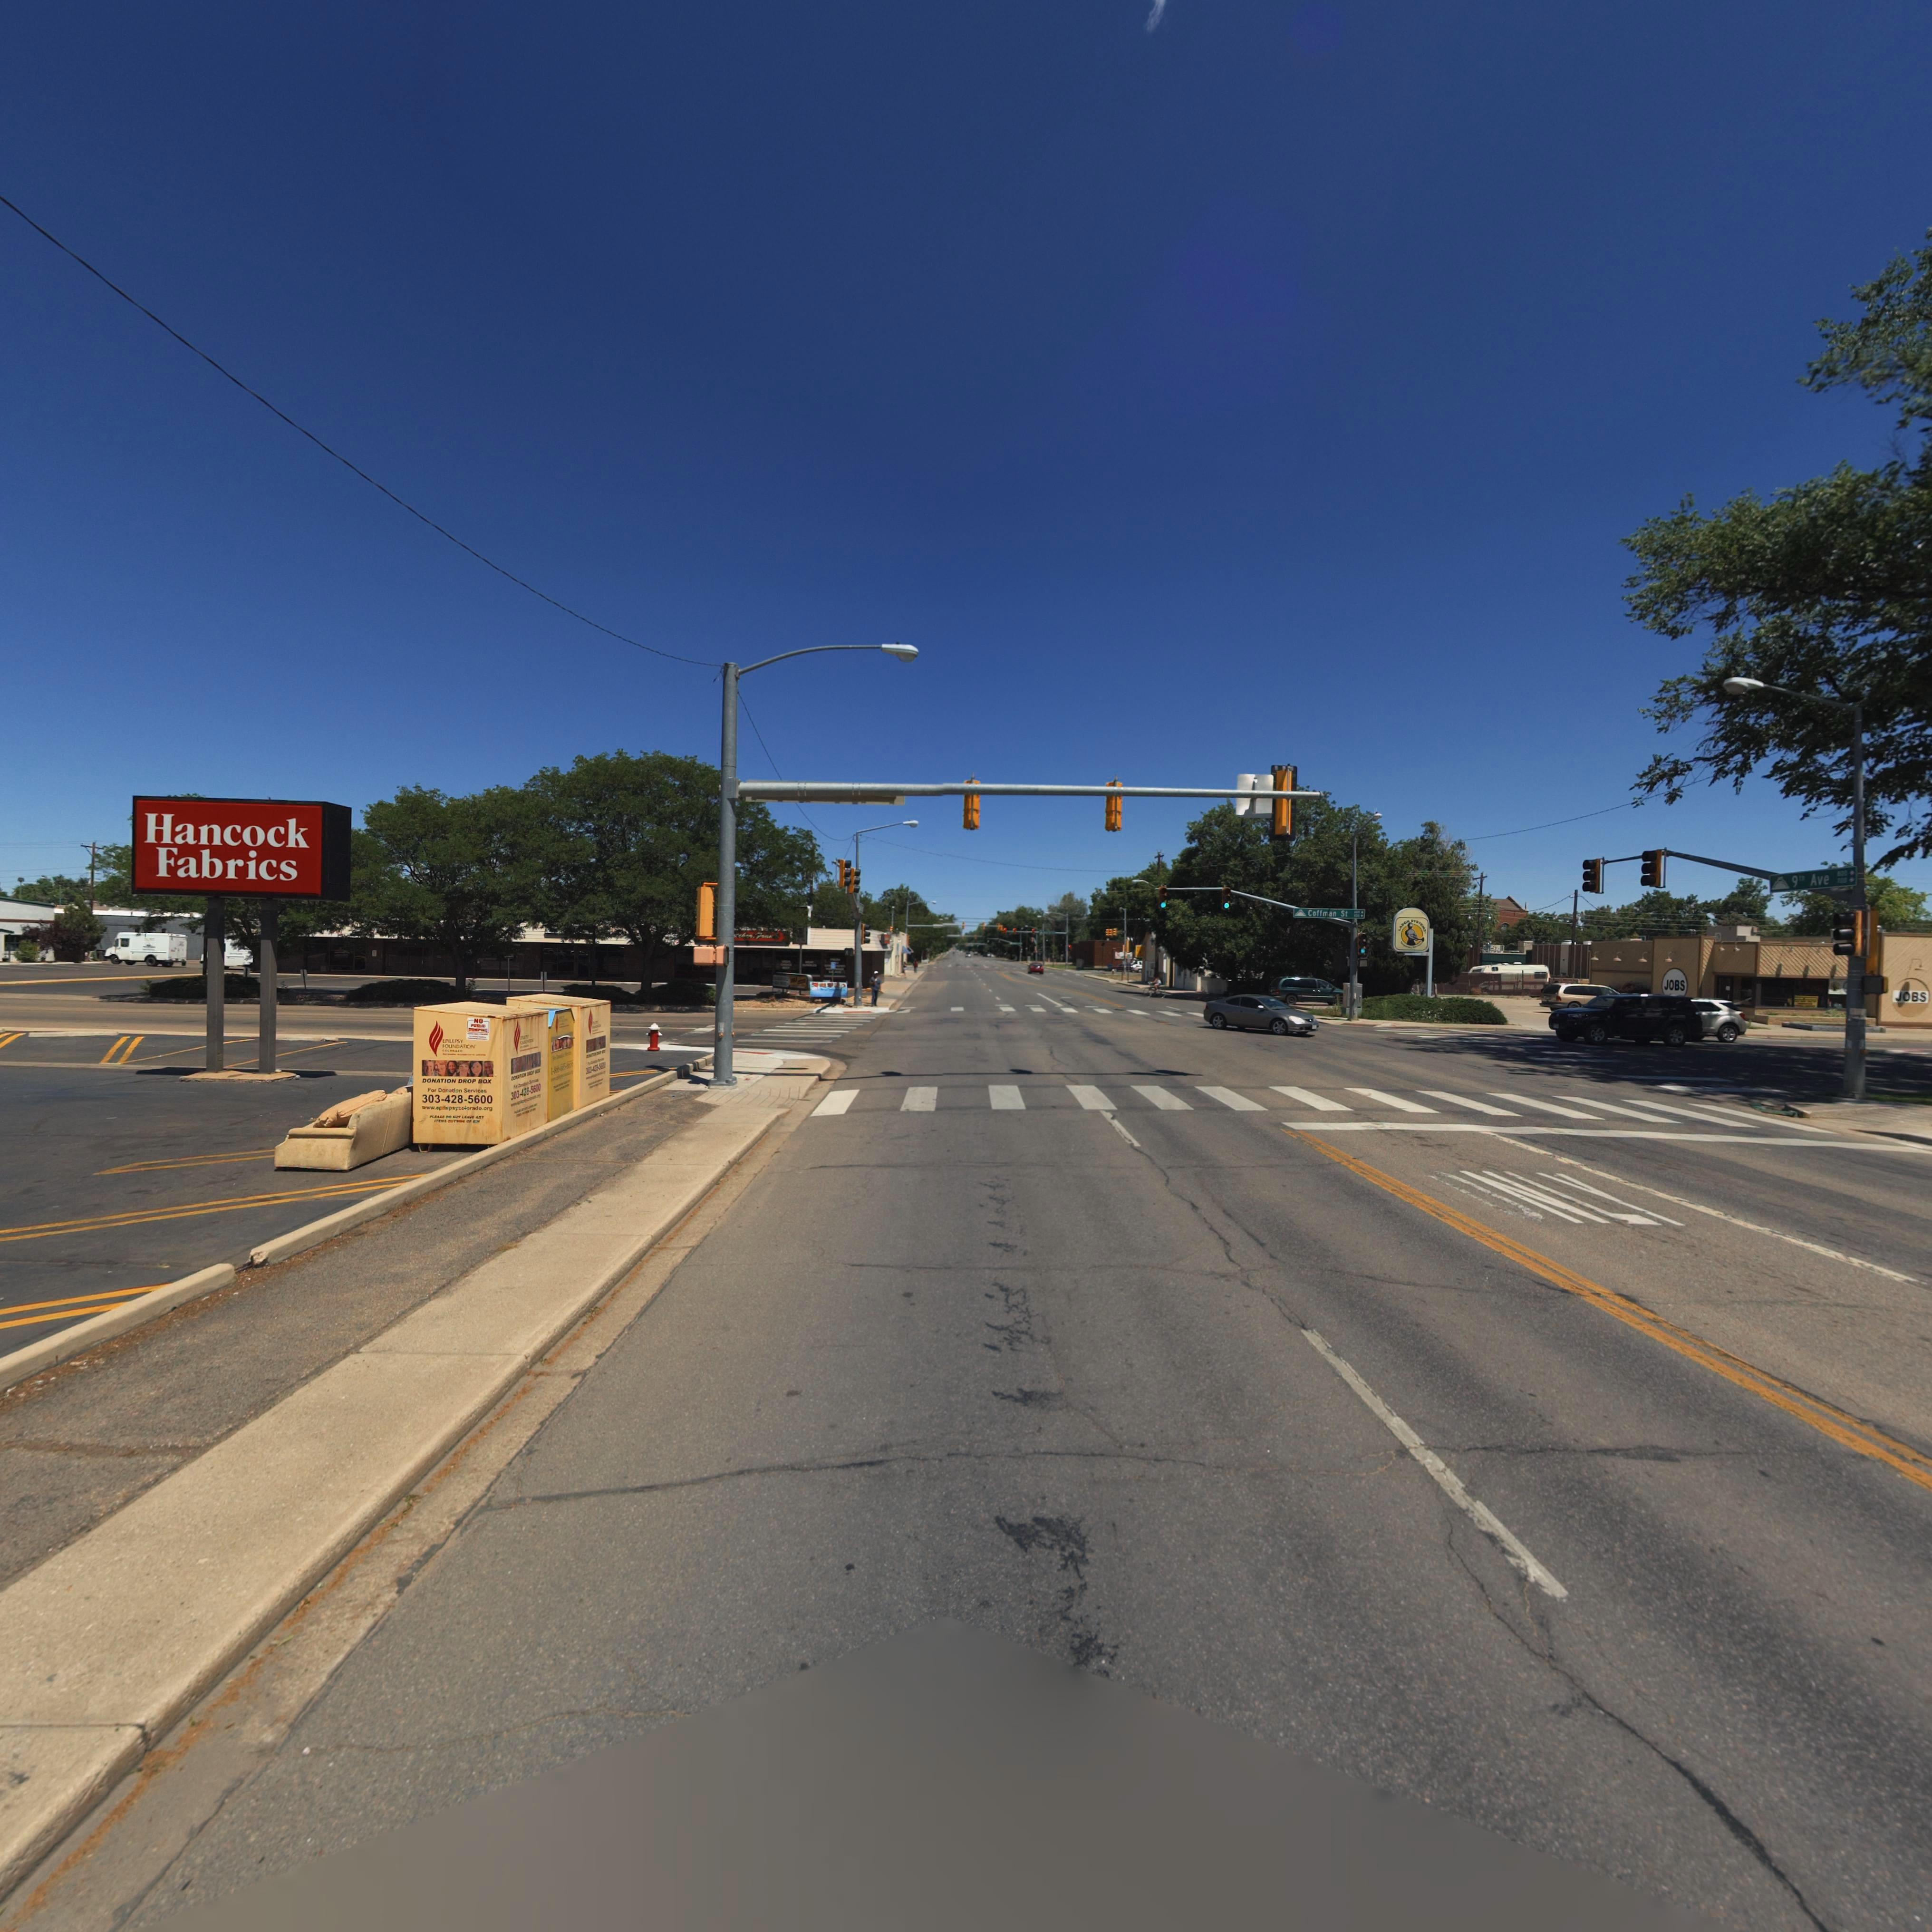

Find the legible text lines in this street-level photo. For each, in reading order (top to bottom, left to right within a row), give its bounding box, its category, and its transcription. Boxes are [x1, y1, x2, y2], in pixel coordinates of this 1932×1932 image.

[144, 812, 310, 848] BusinessName: Hancock
[155, 846, 298, 881] BusinessName: Fabrics
[1836, 869, 1848, 877] StreetNumberRange: 800
[1791, 873, 1829, 888] StreetName: 9th Ave
[1836, 877, 1855, 884] StreetNumberRange: 700 ->
[1308, 909, 1348, 917] StreetName: Coffman St
[1354, 910, 1360, 914] StreetNumberRange: 600
[1353, 914, 1363, 917] StreetNumberRange: 800 ->
[1398, 919, 1426, 932] BusinessName: LABOR SYSTEMS
[733, 932, 773, 939] BusinessName: *tcher Fran
[773, 976, 789, 981] BusinessName: COLORADO GOLD
[790, 976, 806, 985] BusinessName: DELI CiOSO